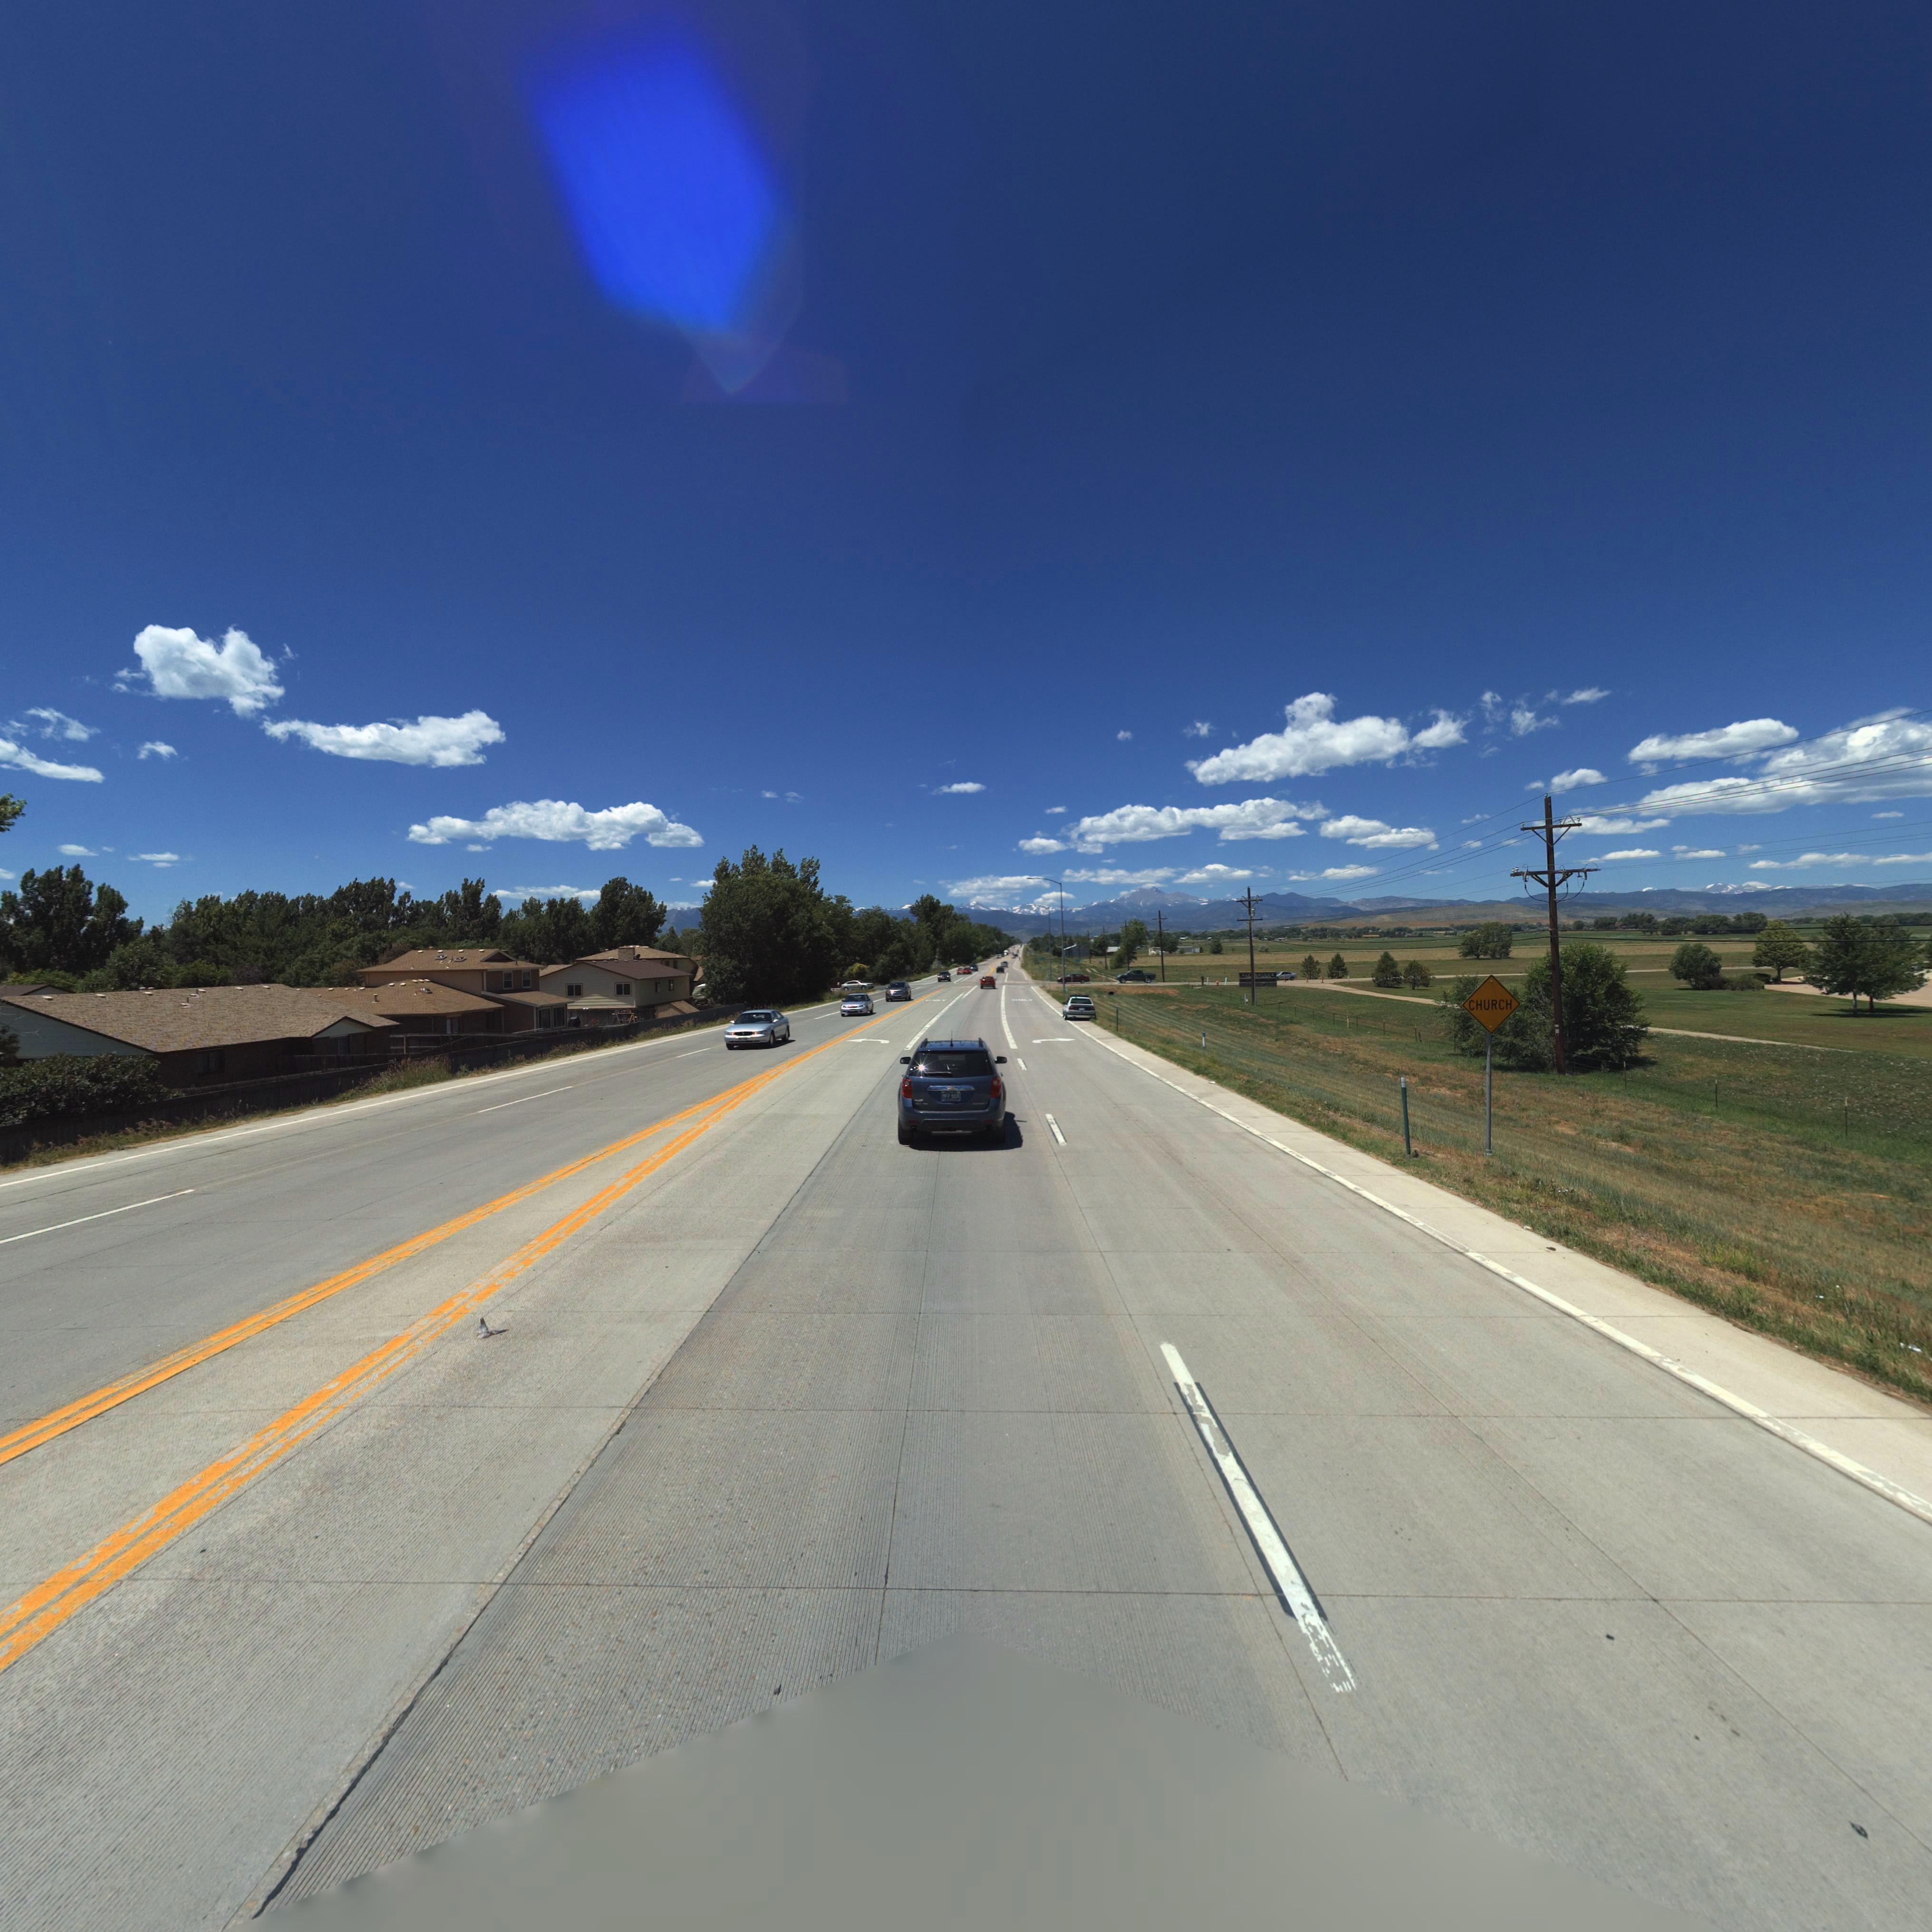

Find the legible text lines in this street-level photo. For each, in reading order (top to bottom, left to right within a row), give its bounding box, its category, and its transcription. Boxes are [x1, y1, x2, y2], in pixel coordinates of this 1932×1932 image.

[1241, 973, 1275, 976] BusinessName: LIF**RID**